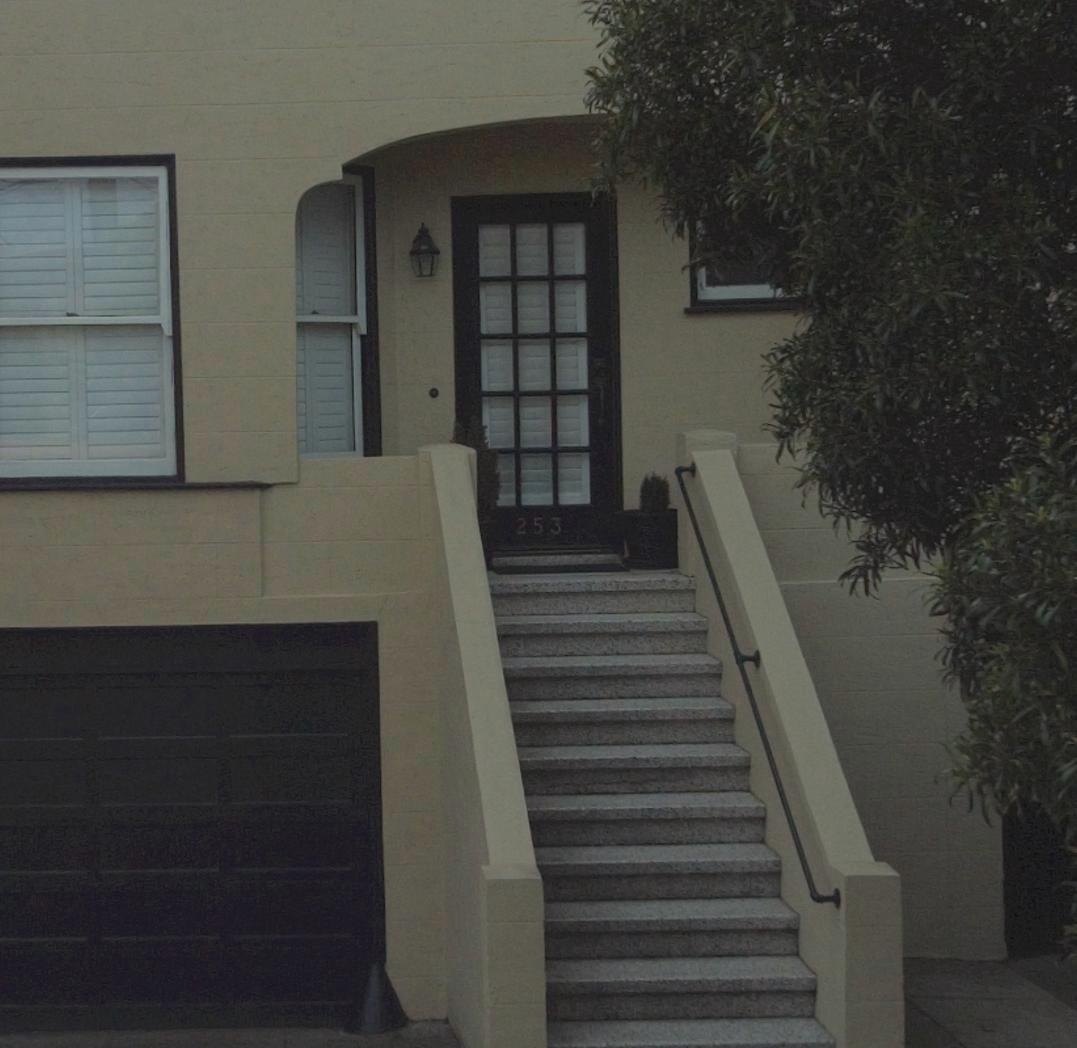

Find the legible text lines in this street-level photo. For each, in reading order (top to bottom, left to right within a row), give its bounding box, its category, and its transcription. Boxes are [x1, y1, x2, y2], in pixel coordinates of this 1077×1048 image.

[515, 516, 562, 536] StreetNumber: 253